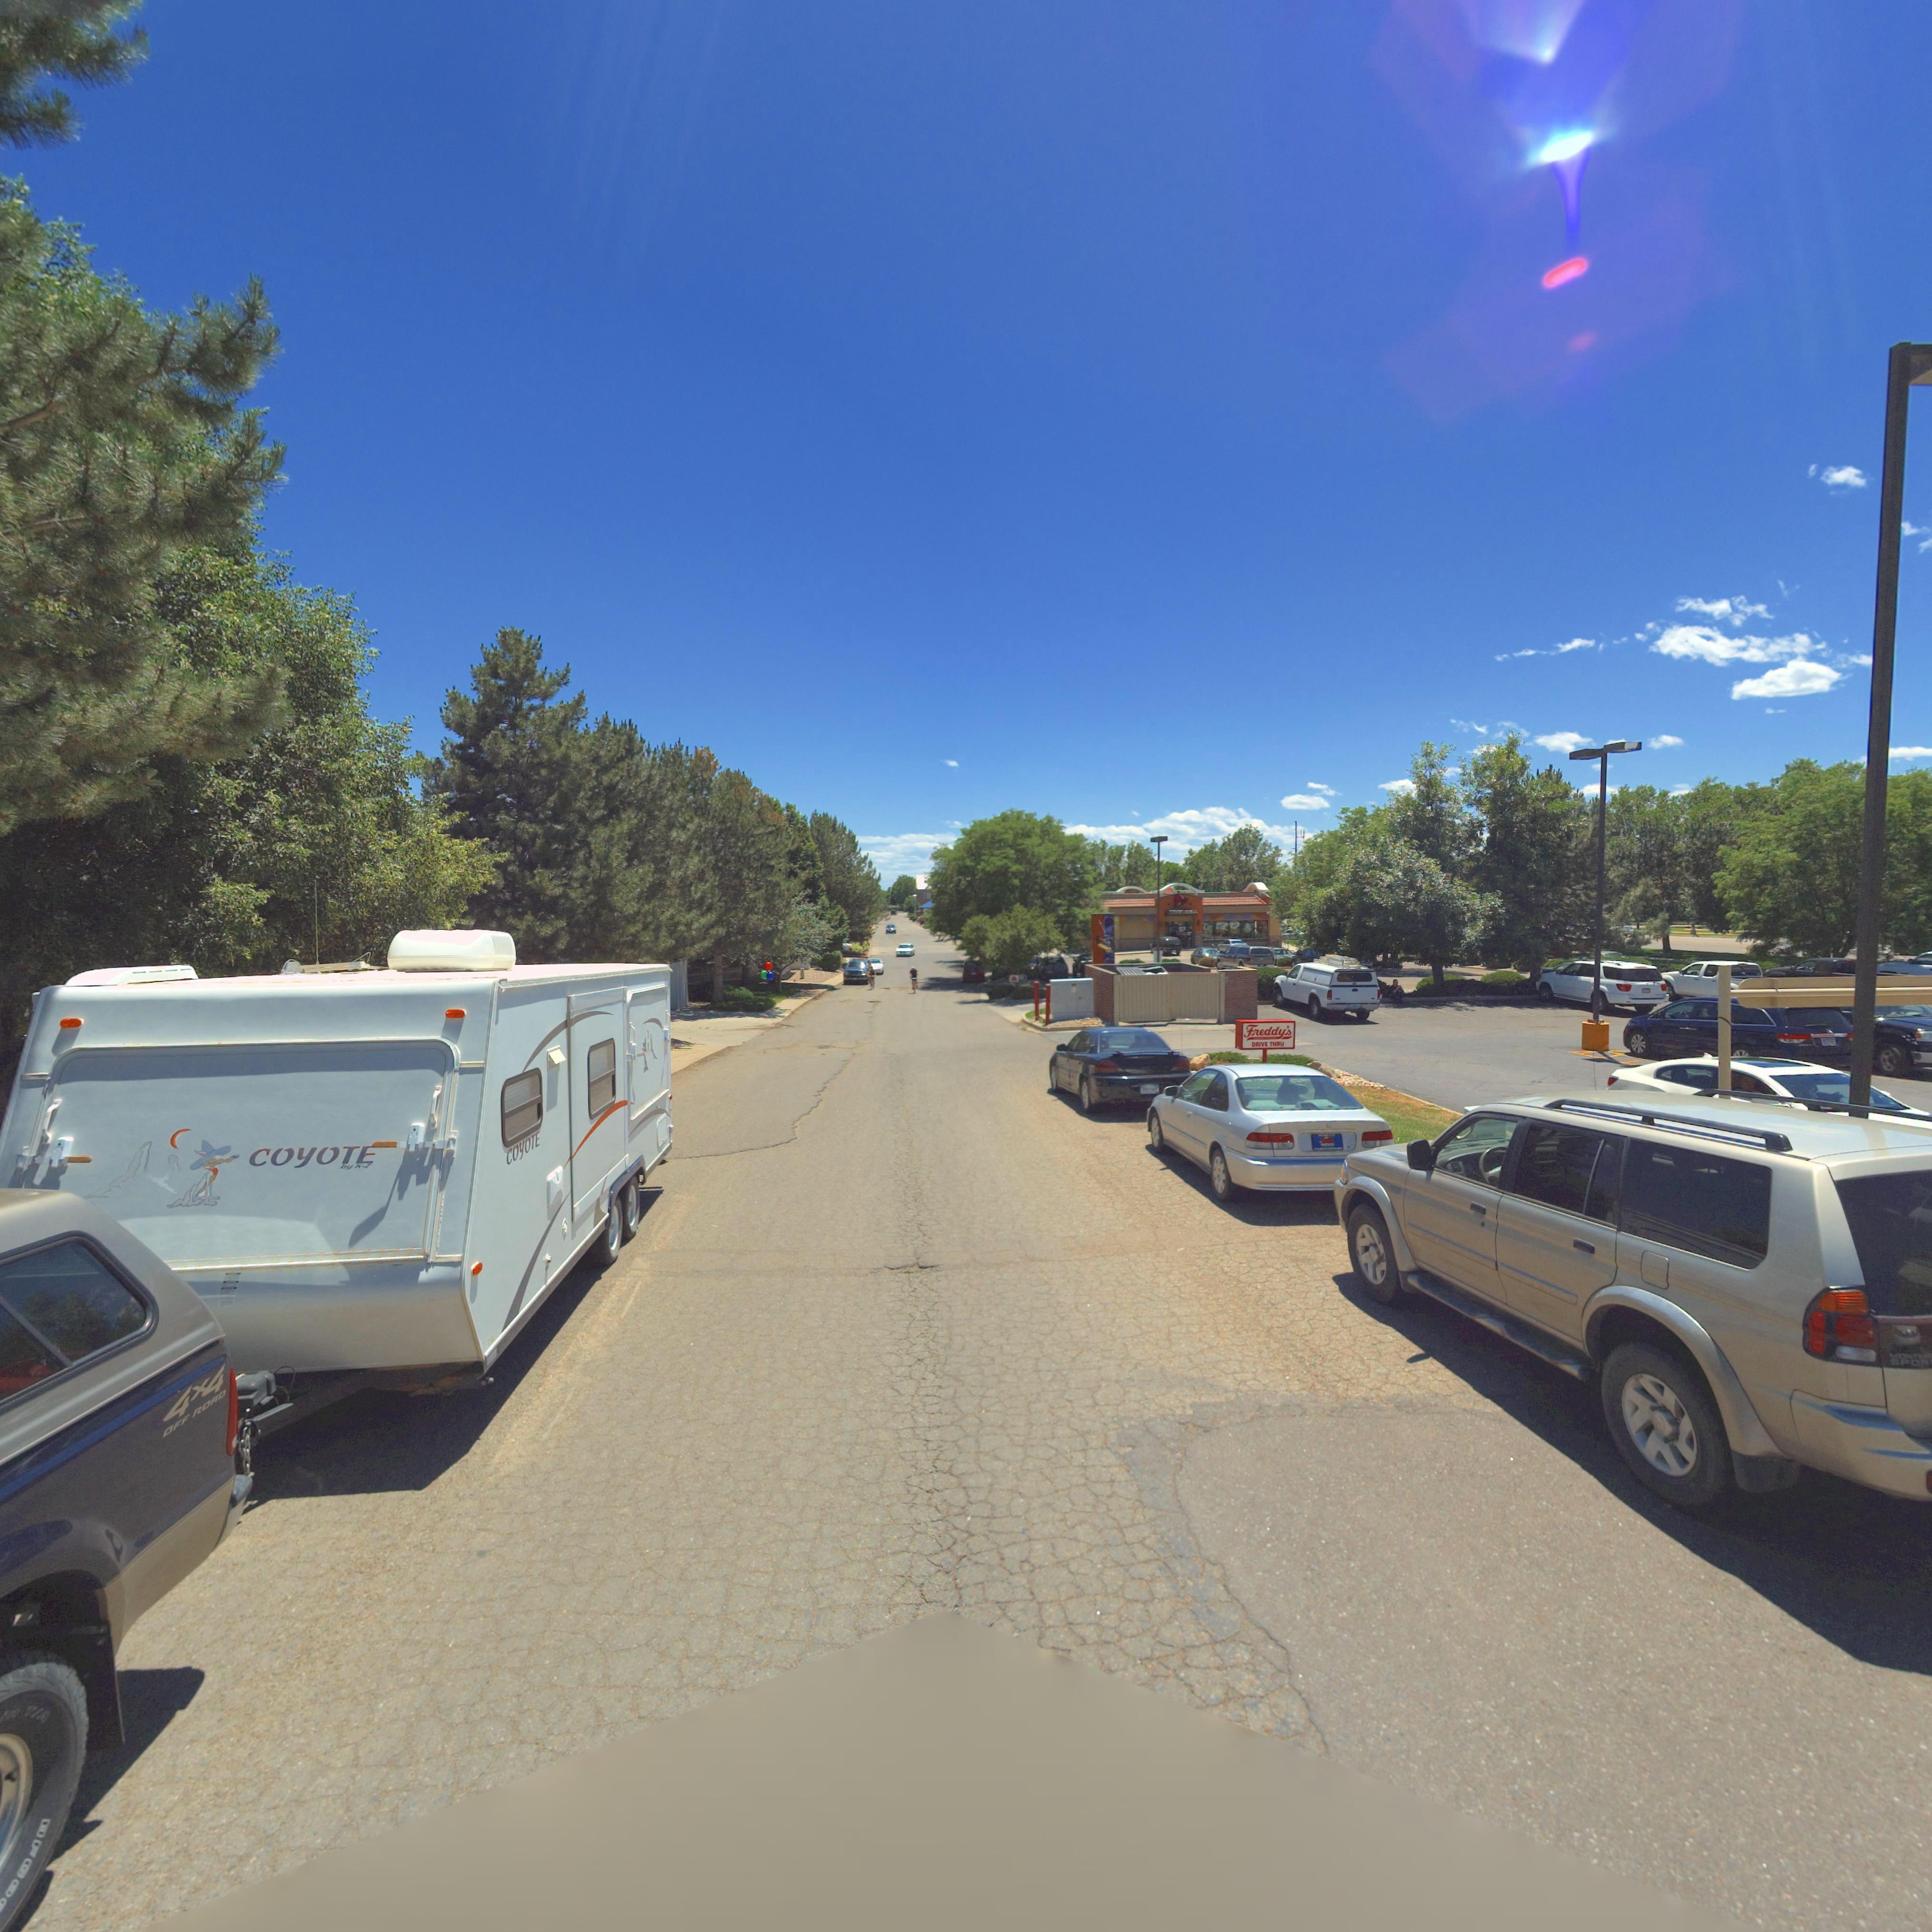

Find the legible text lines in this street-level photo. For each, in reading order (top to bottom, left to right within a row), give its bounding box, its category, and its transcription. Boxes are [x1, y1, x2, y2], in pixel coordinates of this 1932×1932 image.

[1243, 1024, 1292, 1039] BusinessName: Freddy's